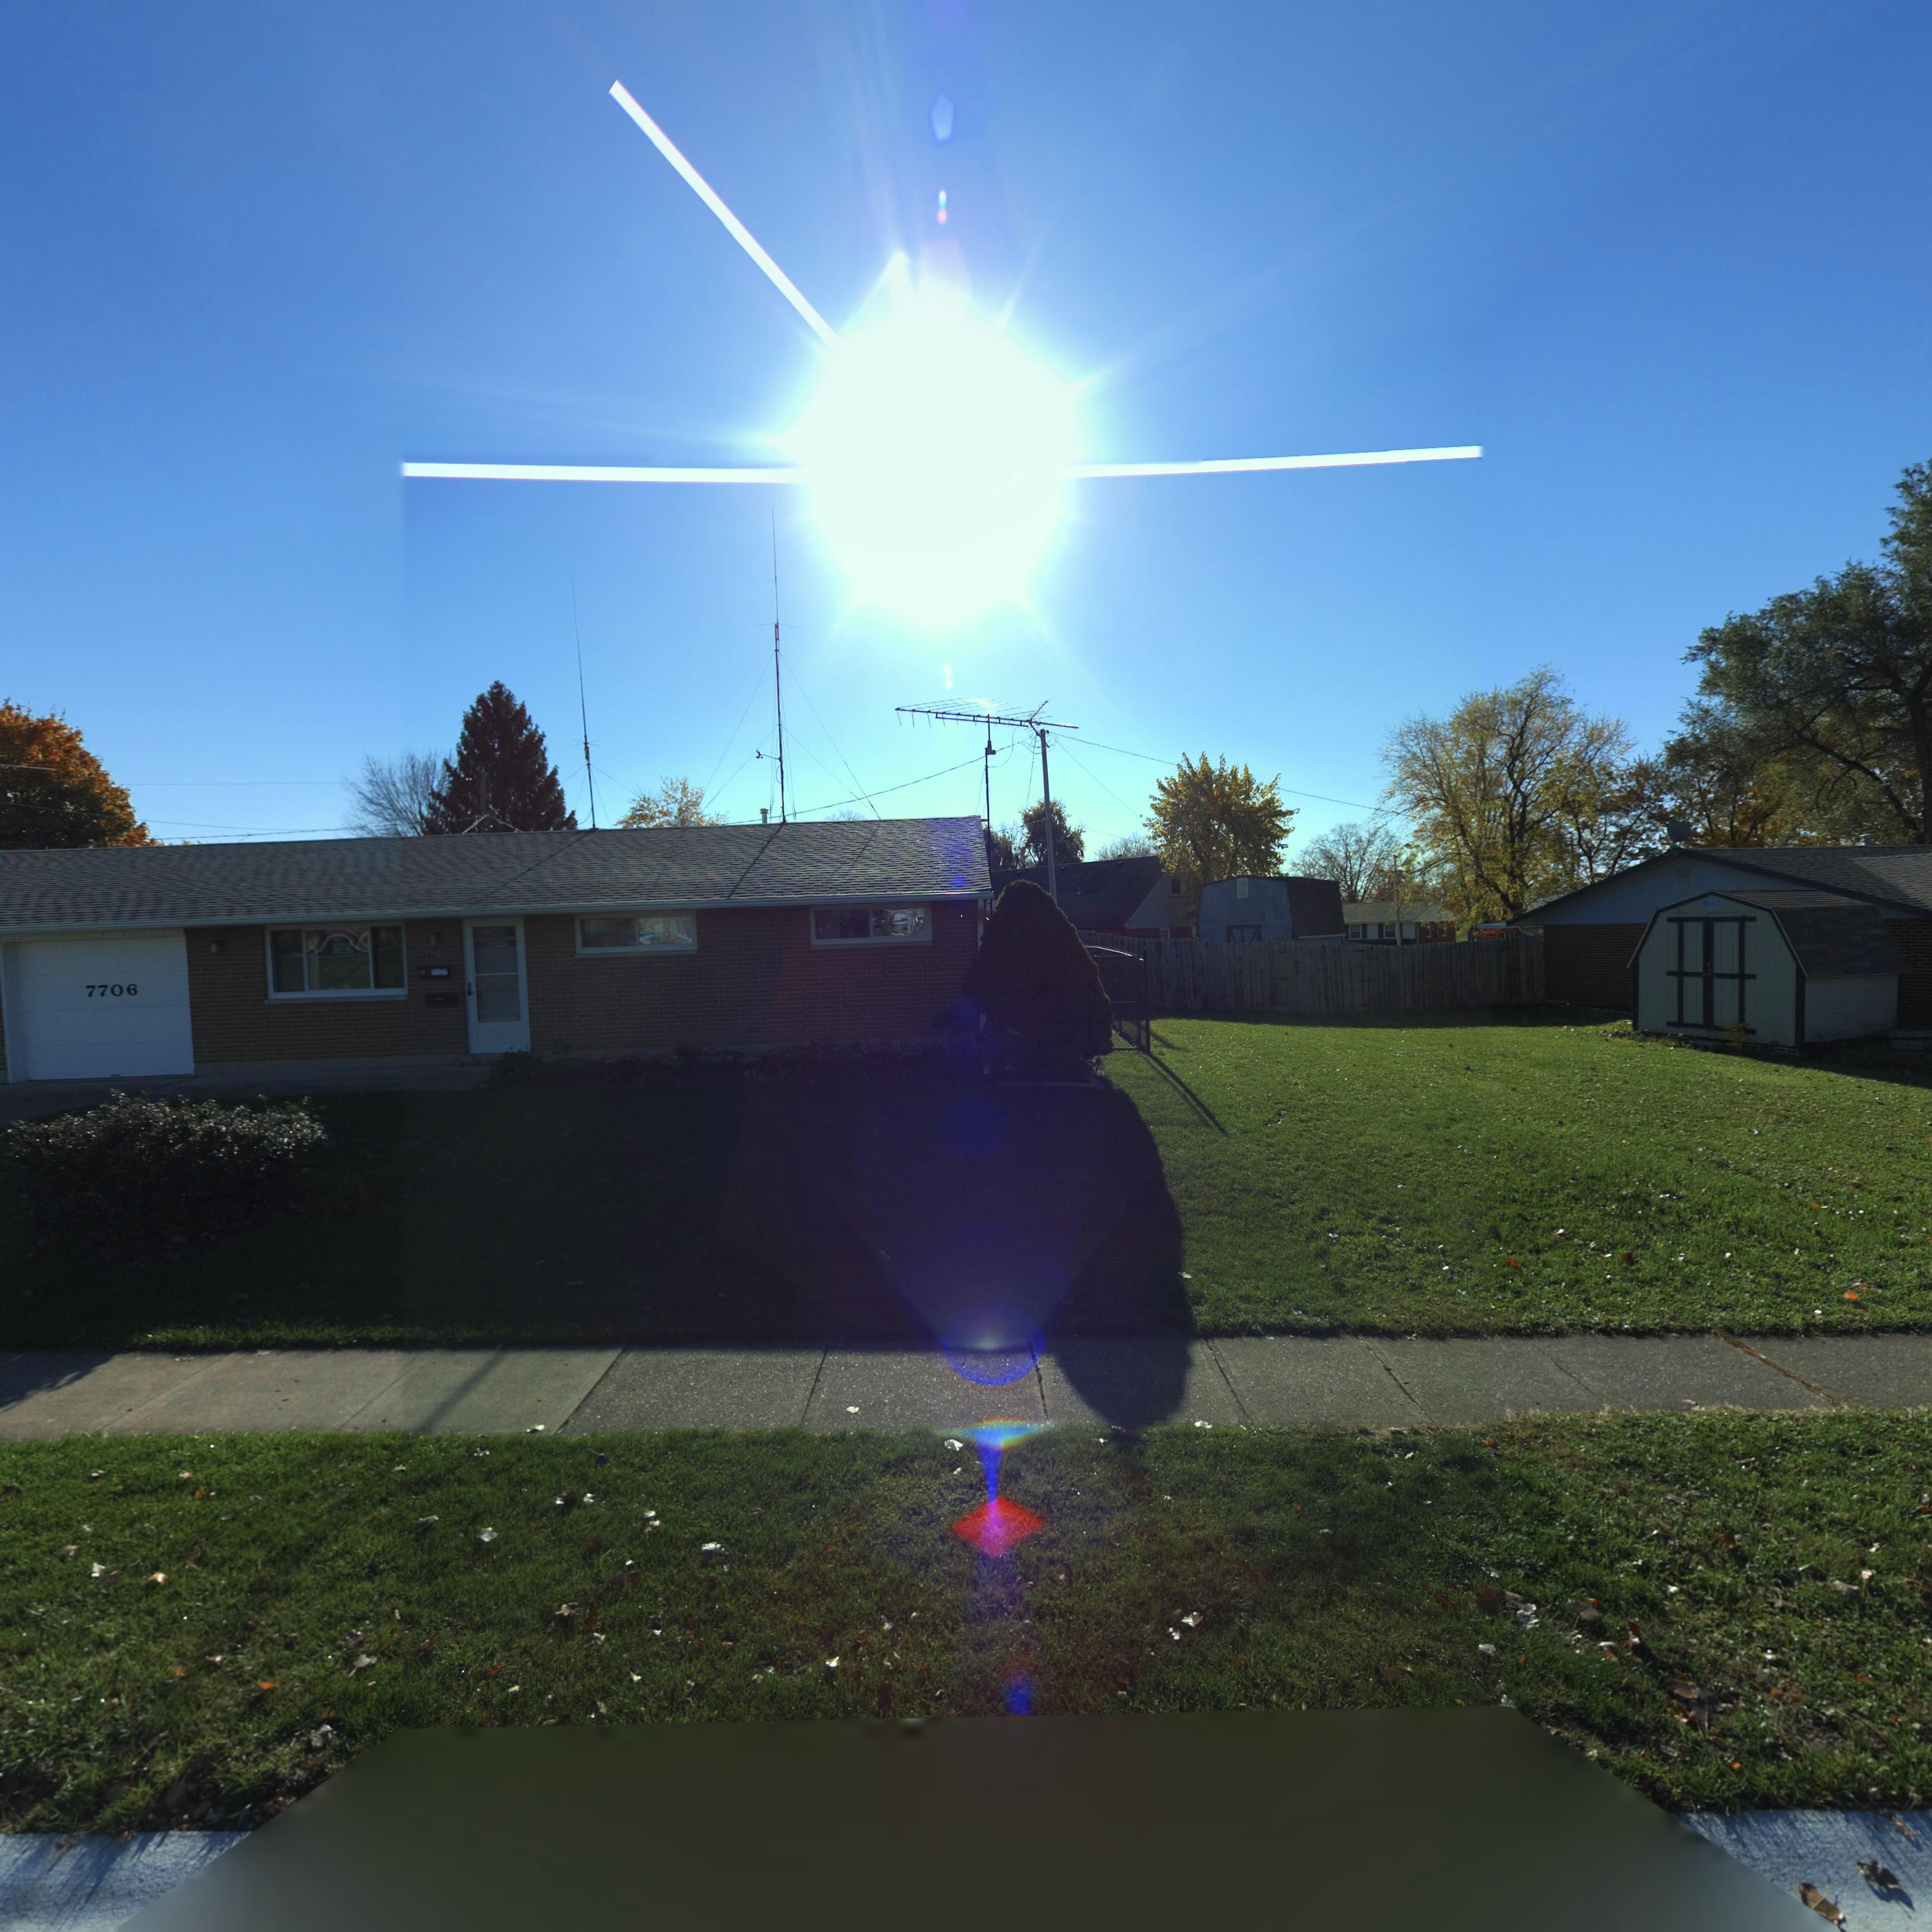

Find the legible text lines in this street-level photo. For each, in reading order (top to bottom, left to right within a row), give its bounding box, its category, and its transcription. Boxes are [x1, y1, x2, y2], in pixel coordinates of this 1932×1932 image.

[424, 950, 443, 959] StreetNumber: 7706
[84, 982, 139, 1000] StreetNumber: 7706